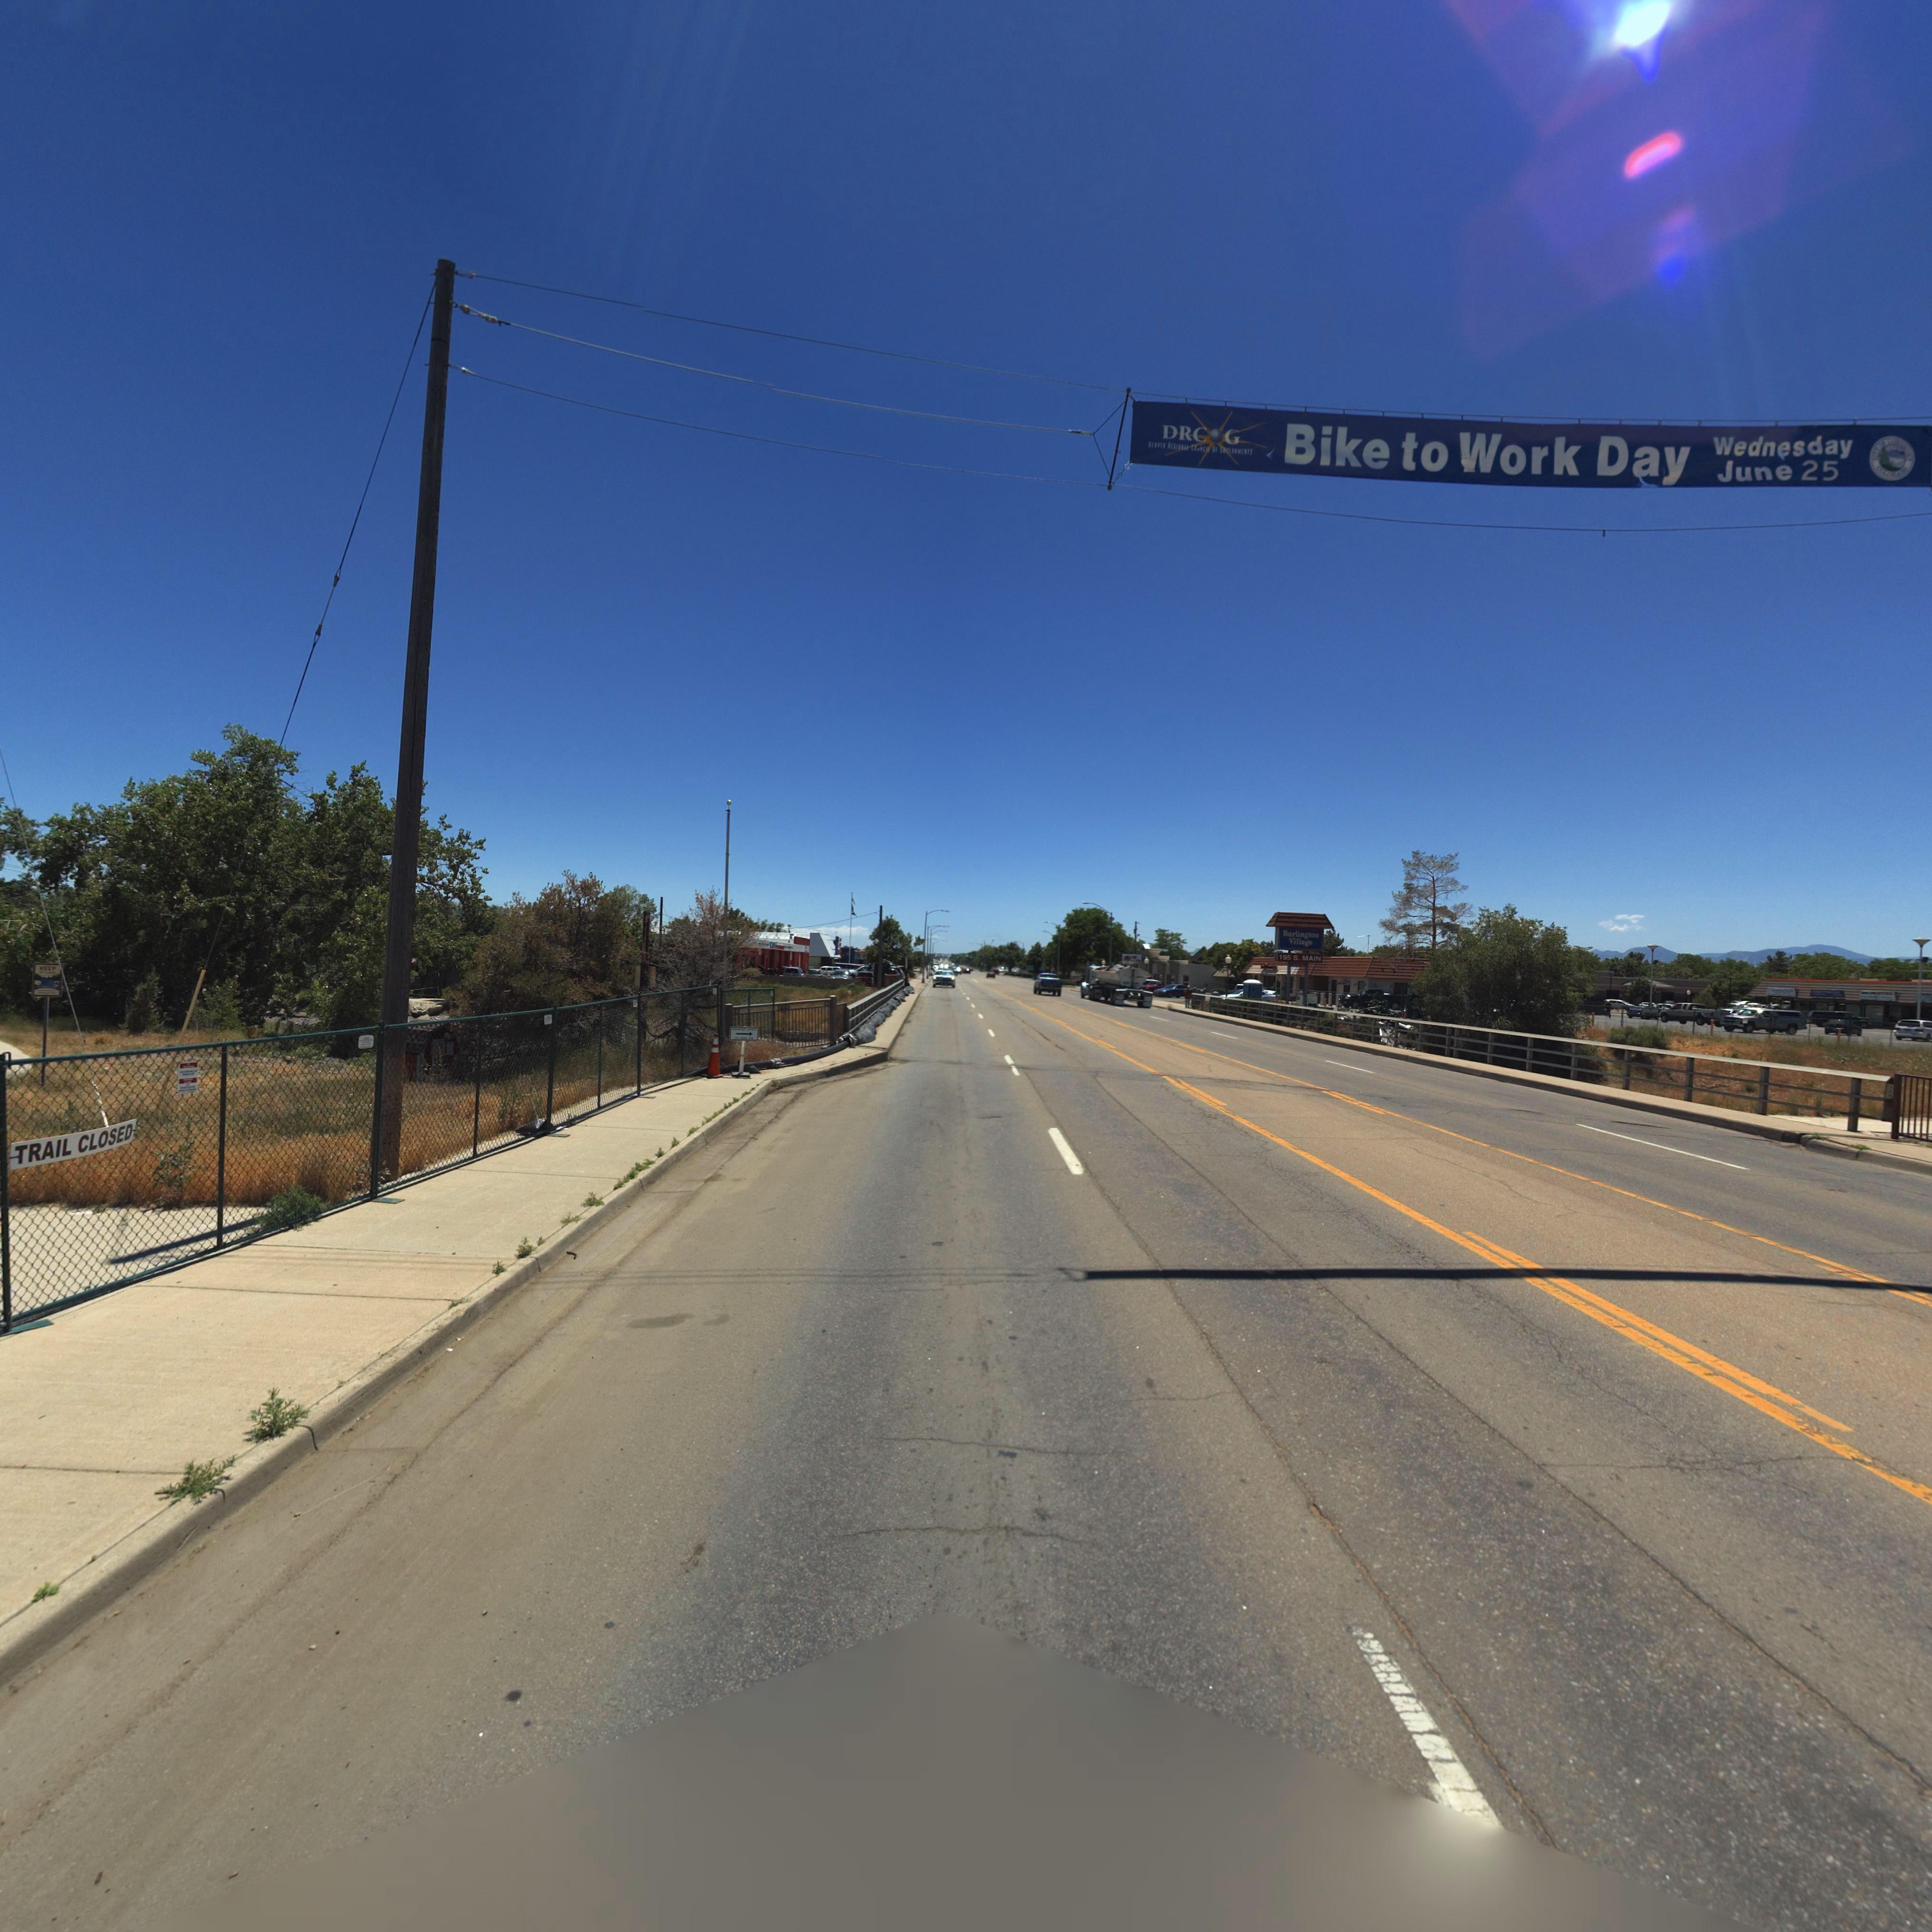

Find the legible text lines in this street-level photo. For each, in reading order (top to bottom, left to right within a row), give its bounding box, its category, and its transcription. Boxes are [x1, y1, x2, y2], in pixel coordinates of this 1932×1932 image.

[1278, 954, 1291, 960] StreetNumber: 195
[1293, 955, 1321, 961] StreetName: S. MAIN